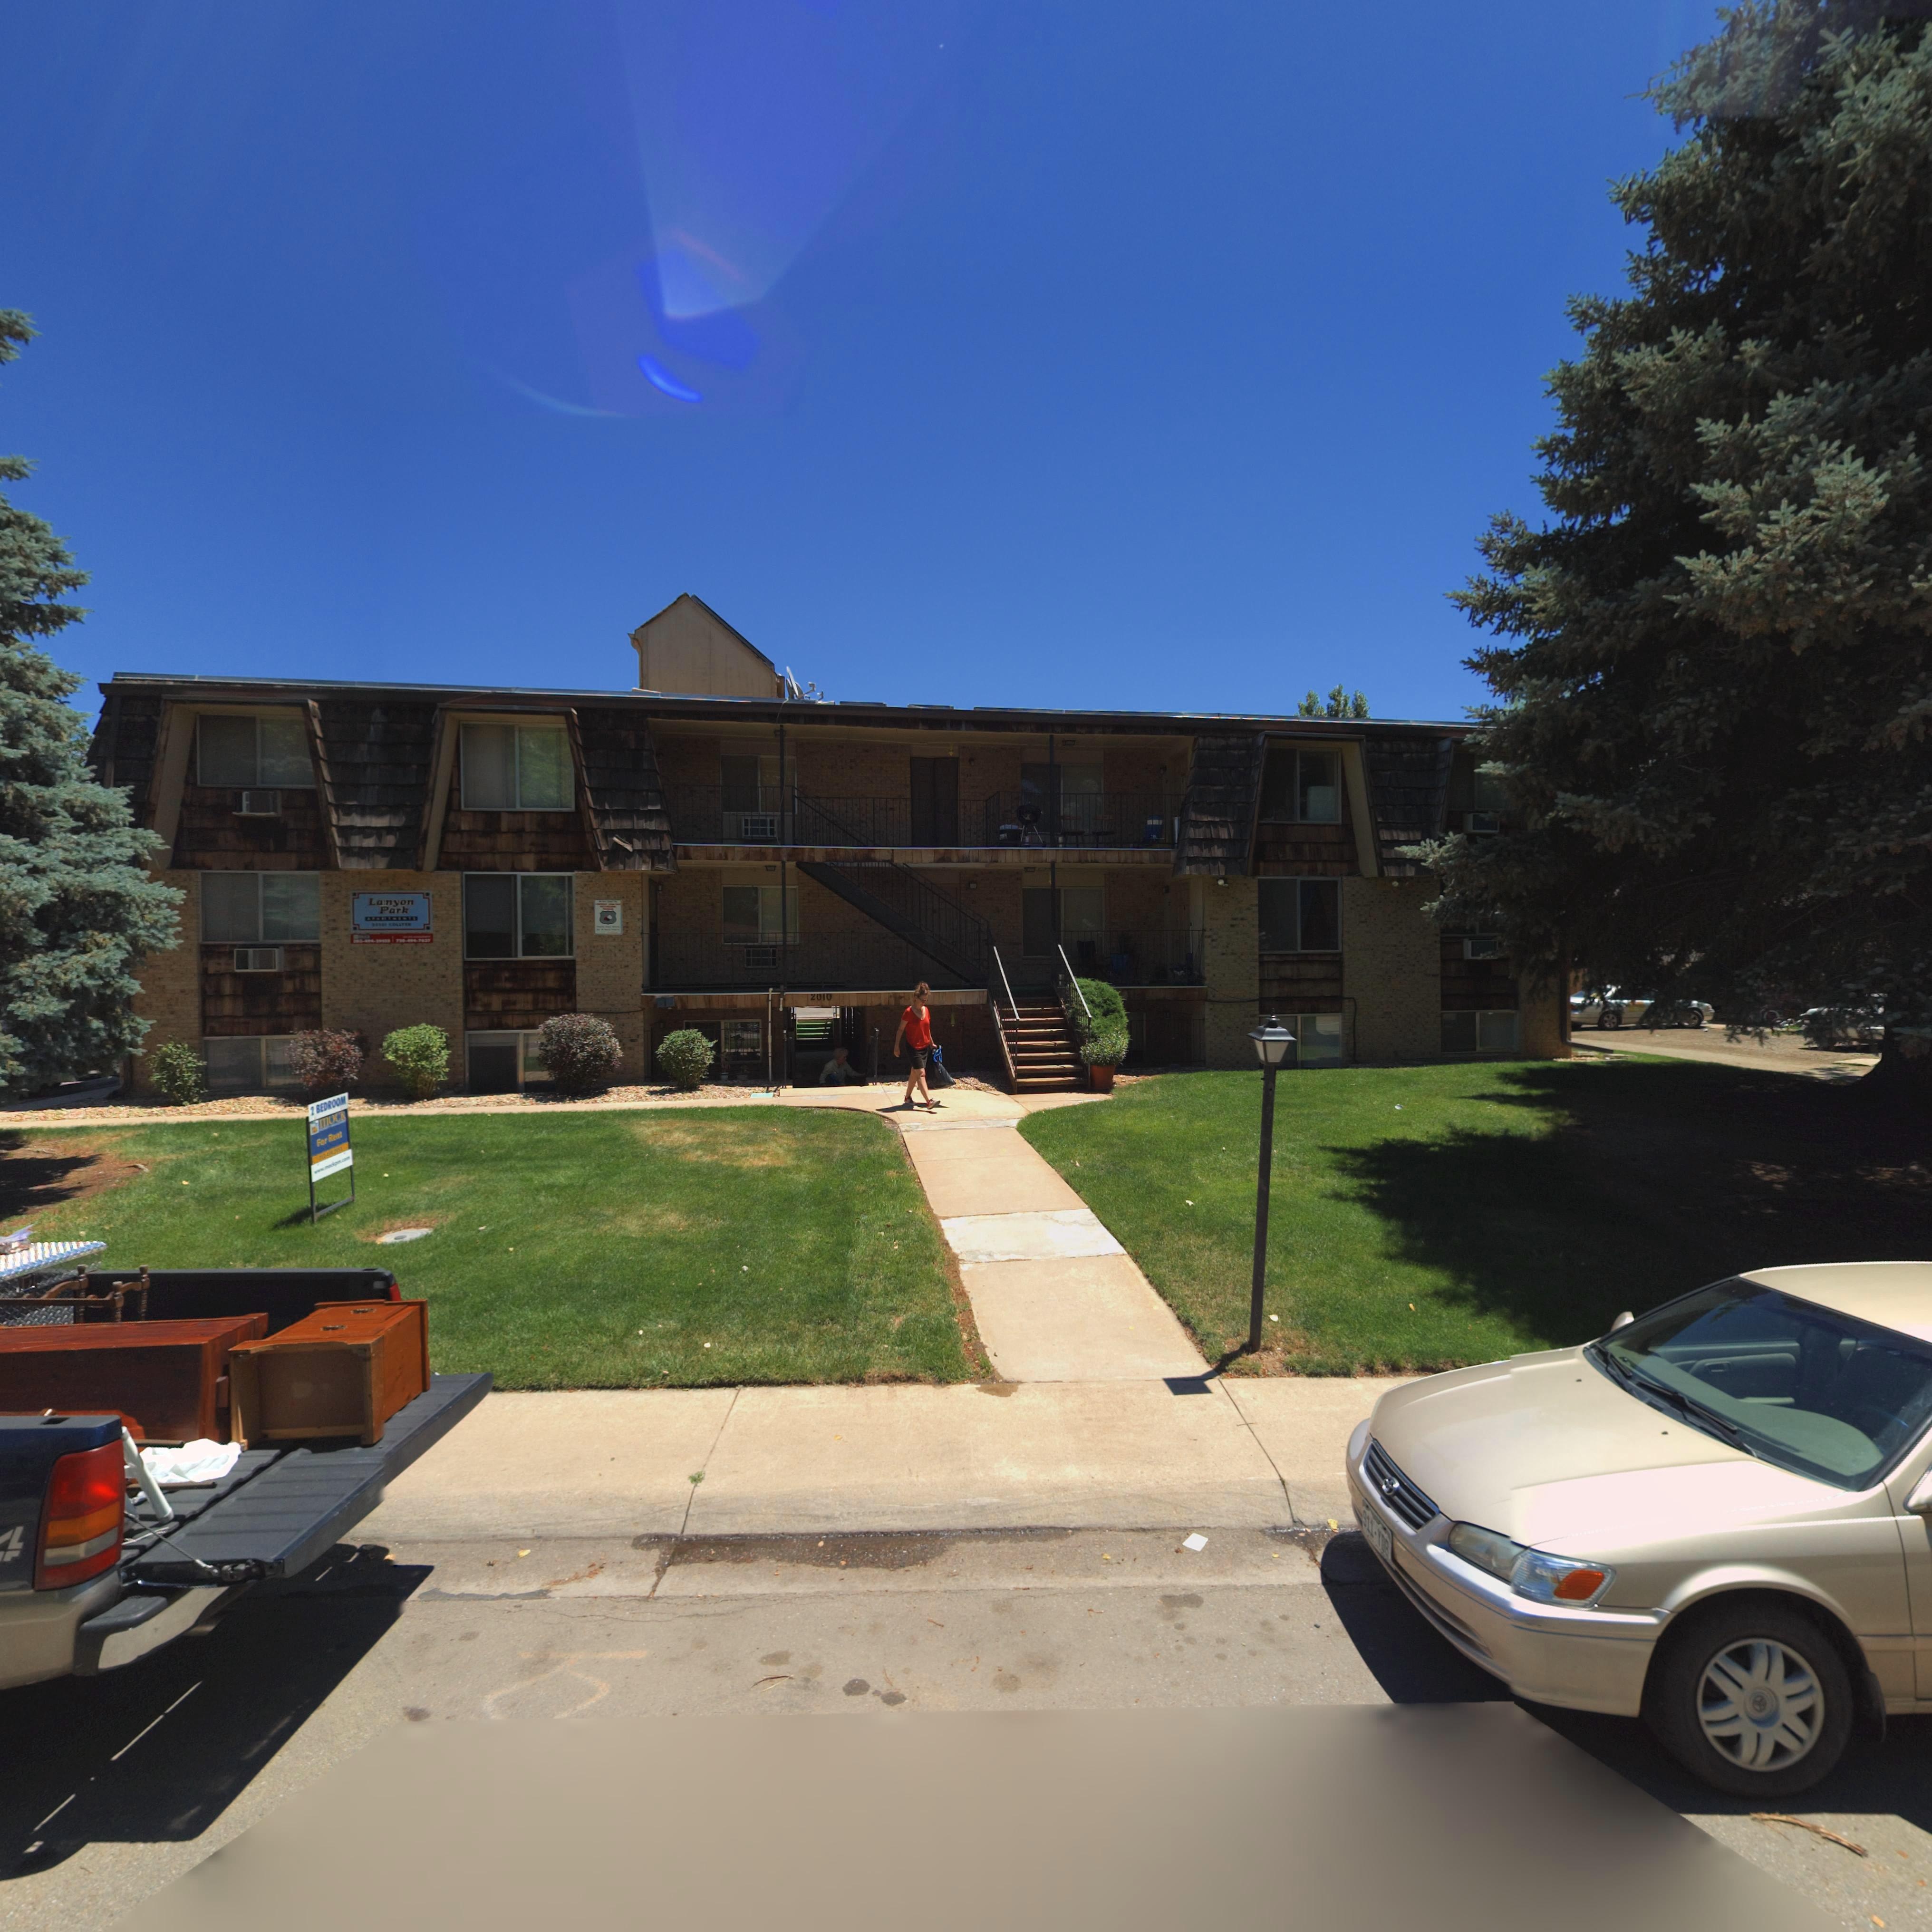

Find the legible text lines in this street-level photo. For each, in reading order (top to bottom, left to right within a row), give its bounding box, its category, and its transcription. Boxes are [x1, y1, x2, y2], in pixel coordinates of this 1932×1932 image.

[367, 897, 415, 907] BusinessName: Lanyon
[379, 906, 409, 914] BusinessName: Park
[809, 993, 833, 1001] StreetNumber: 2010